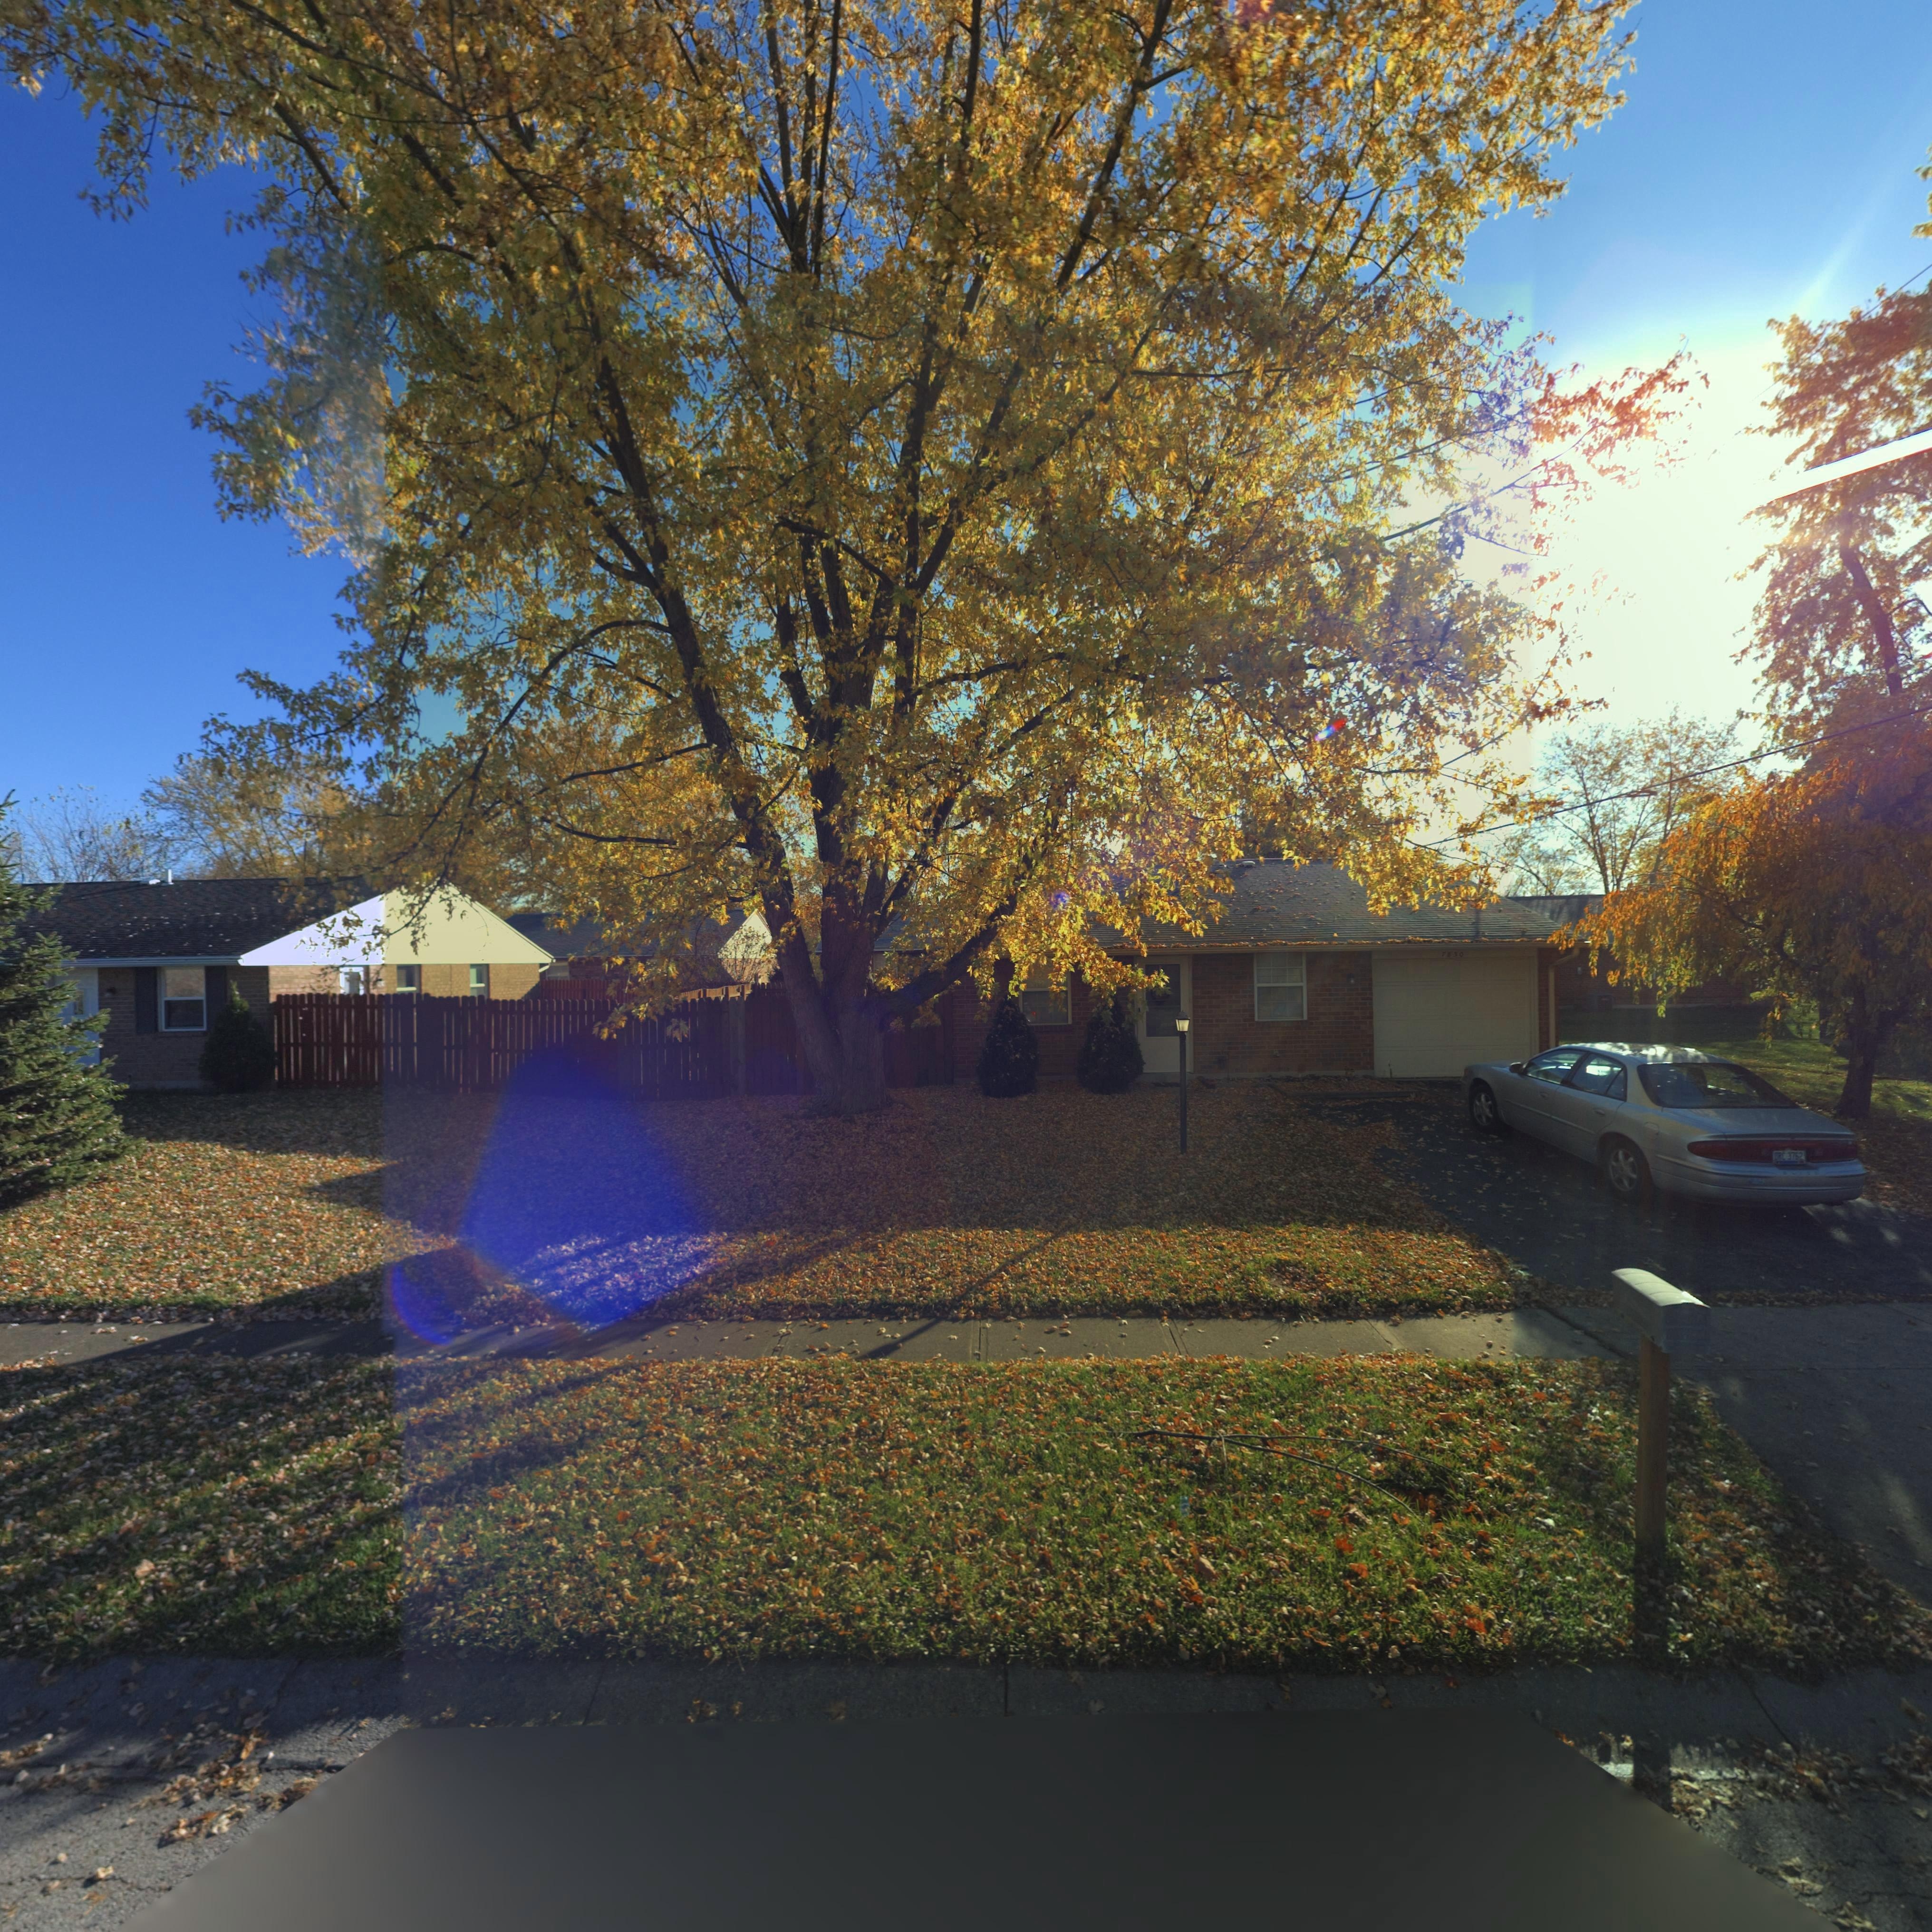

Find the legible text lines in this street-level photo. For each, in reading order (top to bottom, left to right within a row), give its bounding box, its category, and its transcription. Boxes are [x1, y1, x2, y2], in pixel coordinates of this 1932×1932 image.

[1440, 950, 1464, 958] StreetNumber: ***0
[1773, 1150, 1805, 1162] None: ORC 3762